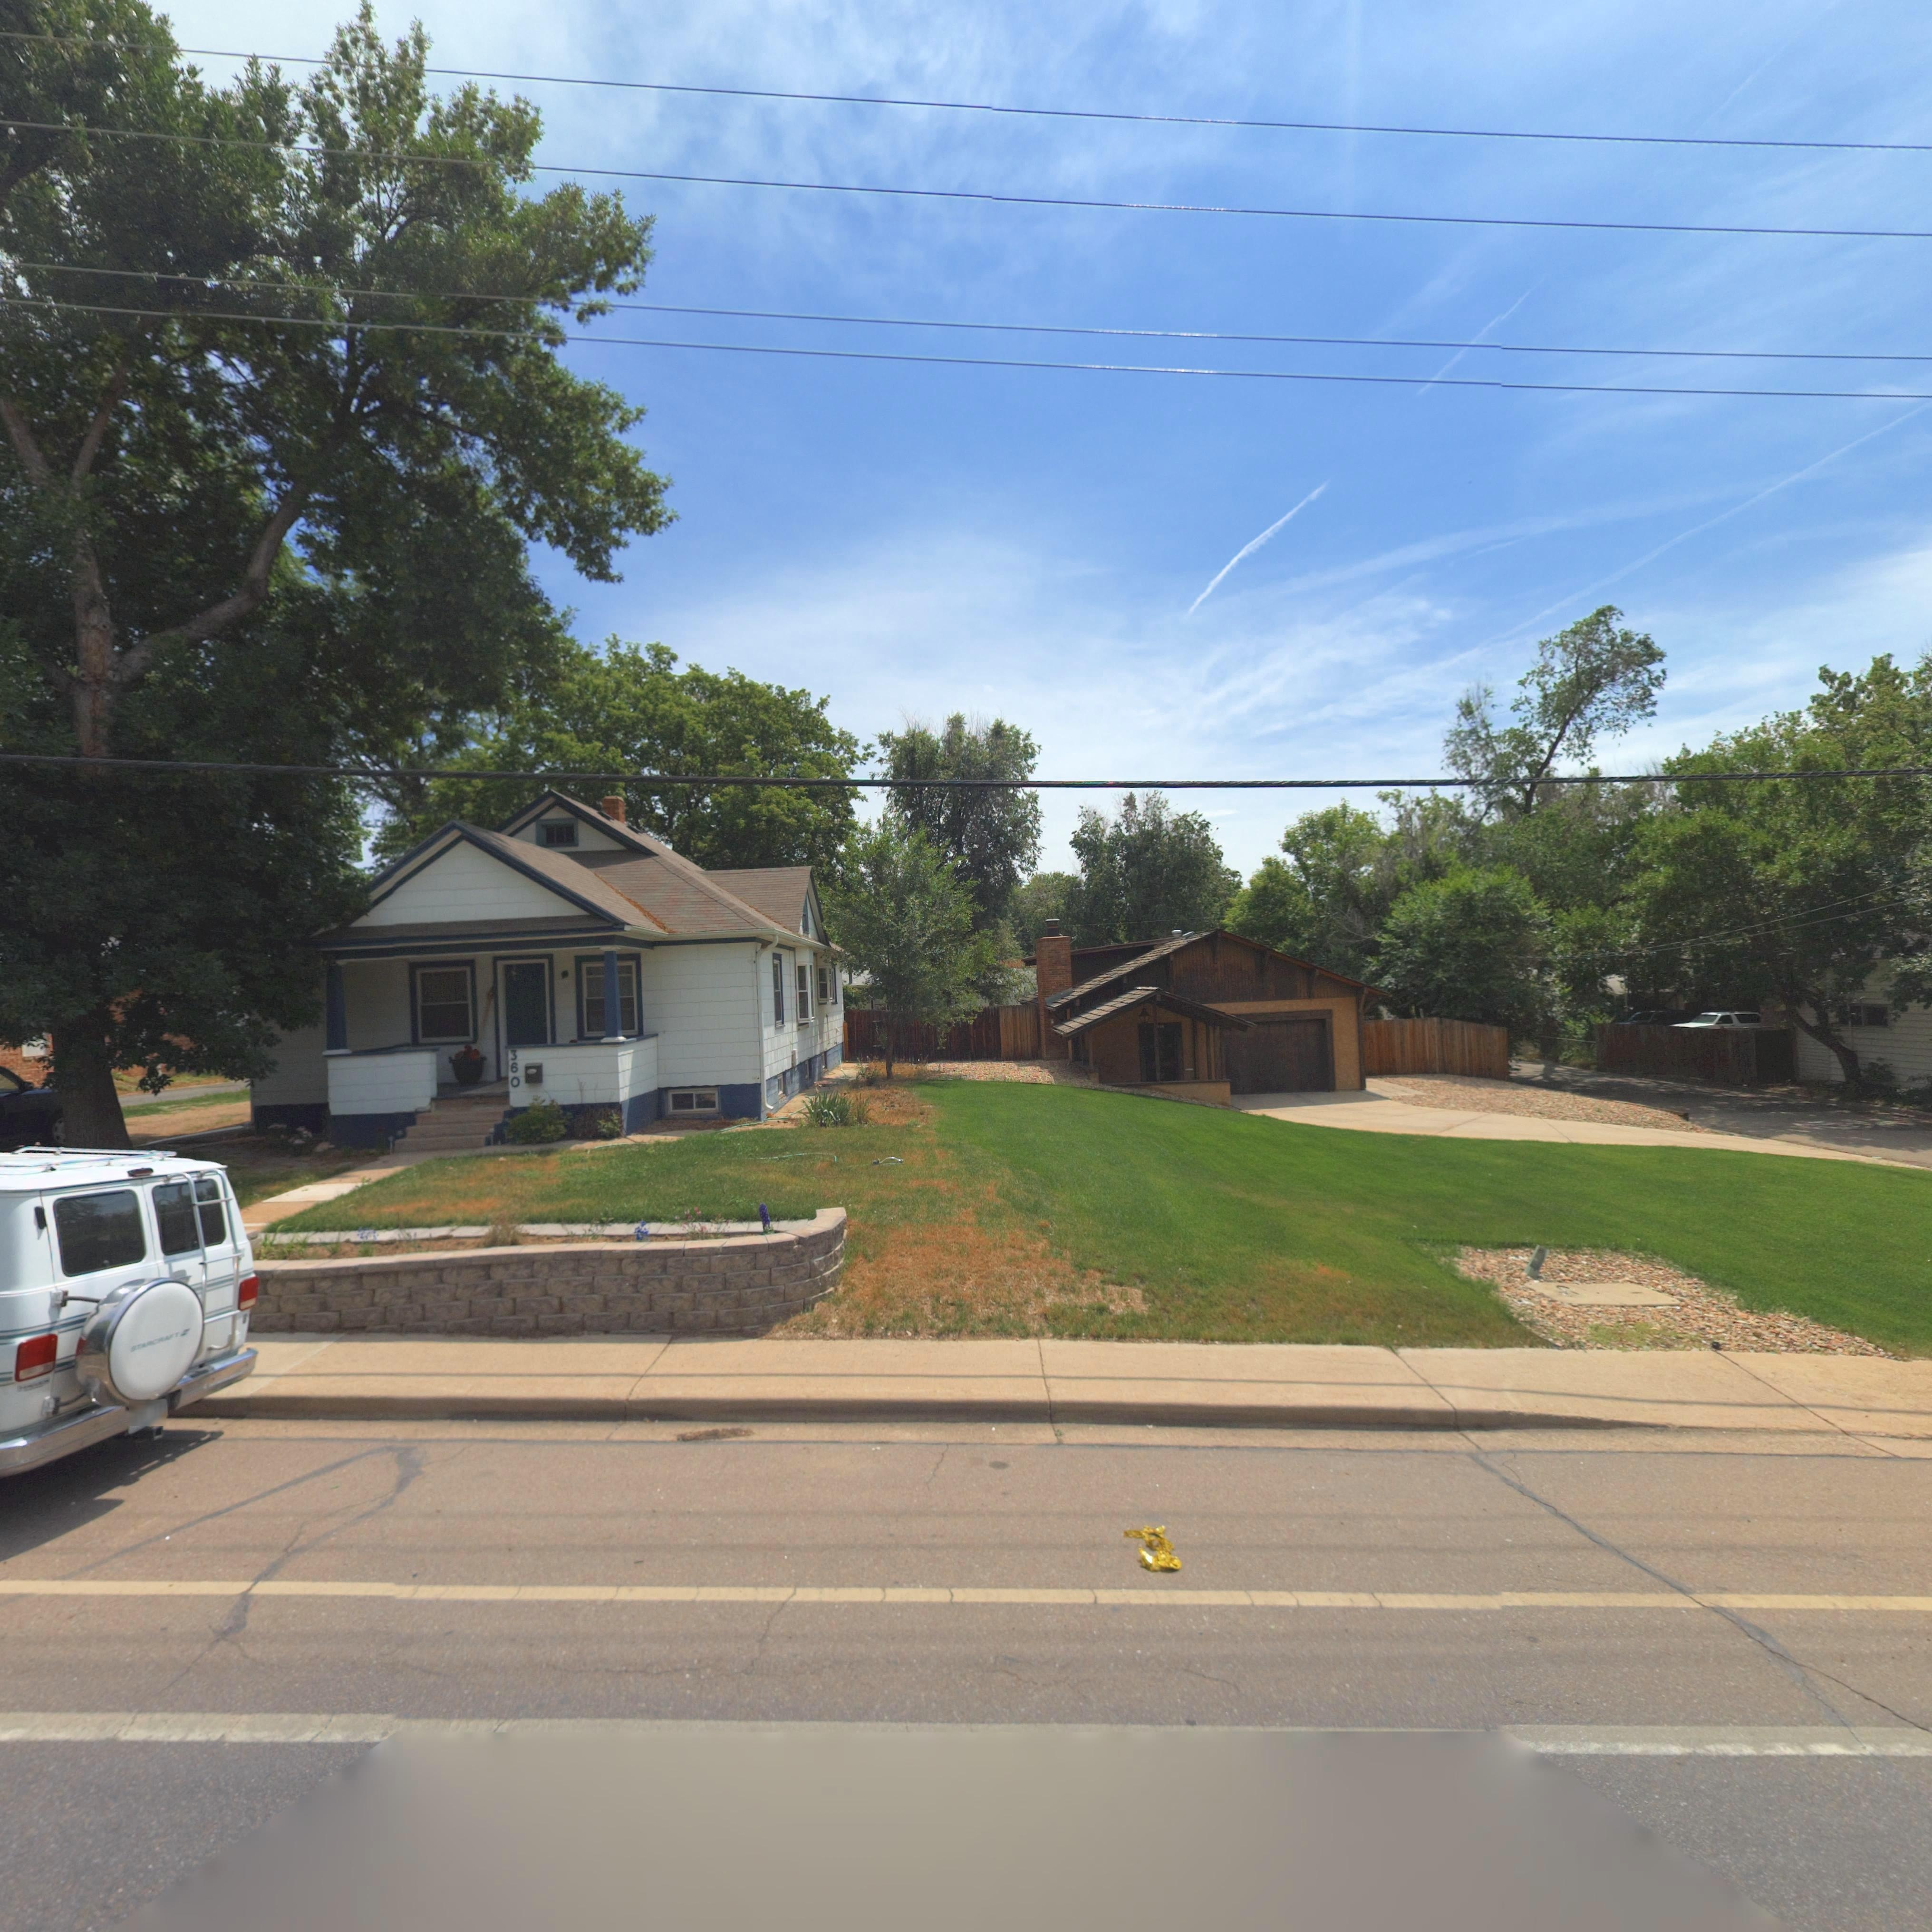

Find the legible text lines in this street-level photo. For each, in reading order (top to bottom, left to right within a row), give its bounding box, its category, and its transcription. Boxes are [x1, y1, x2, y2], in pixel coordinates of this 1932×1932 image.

[510, 1048, 521, 1088] StreetNumber: 360